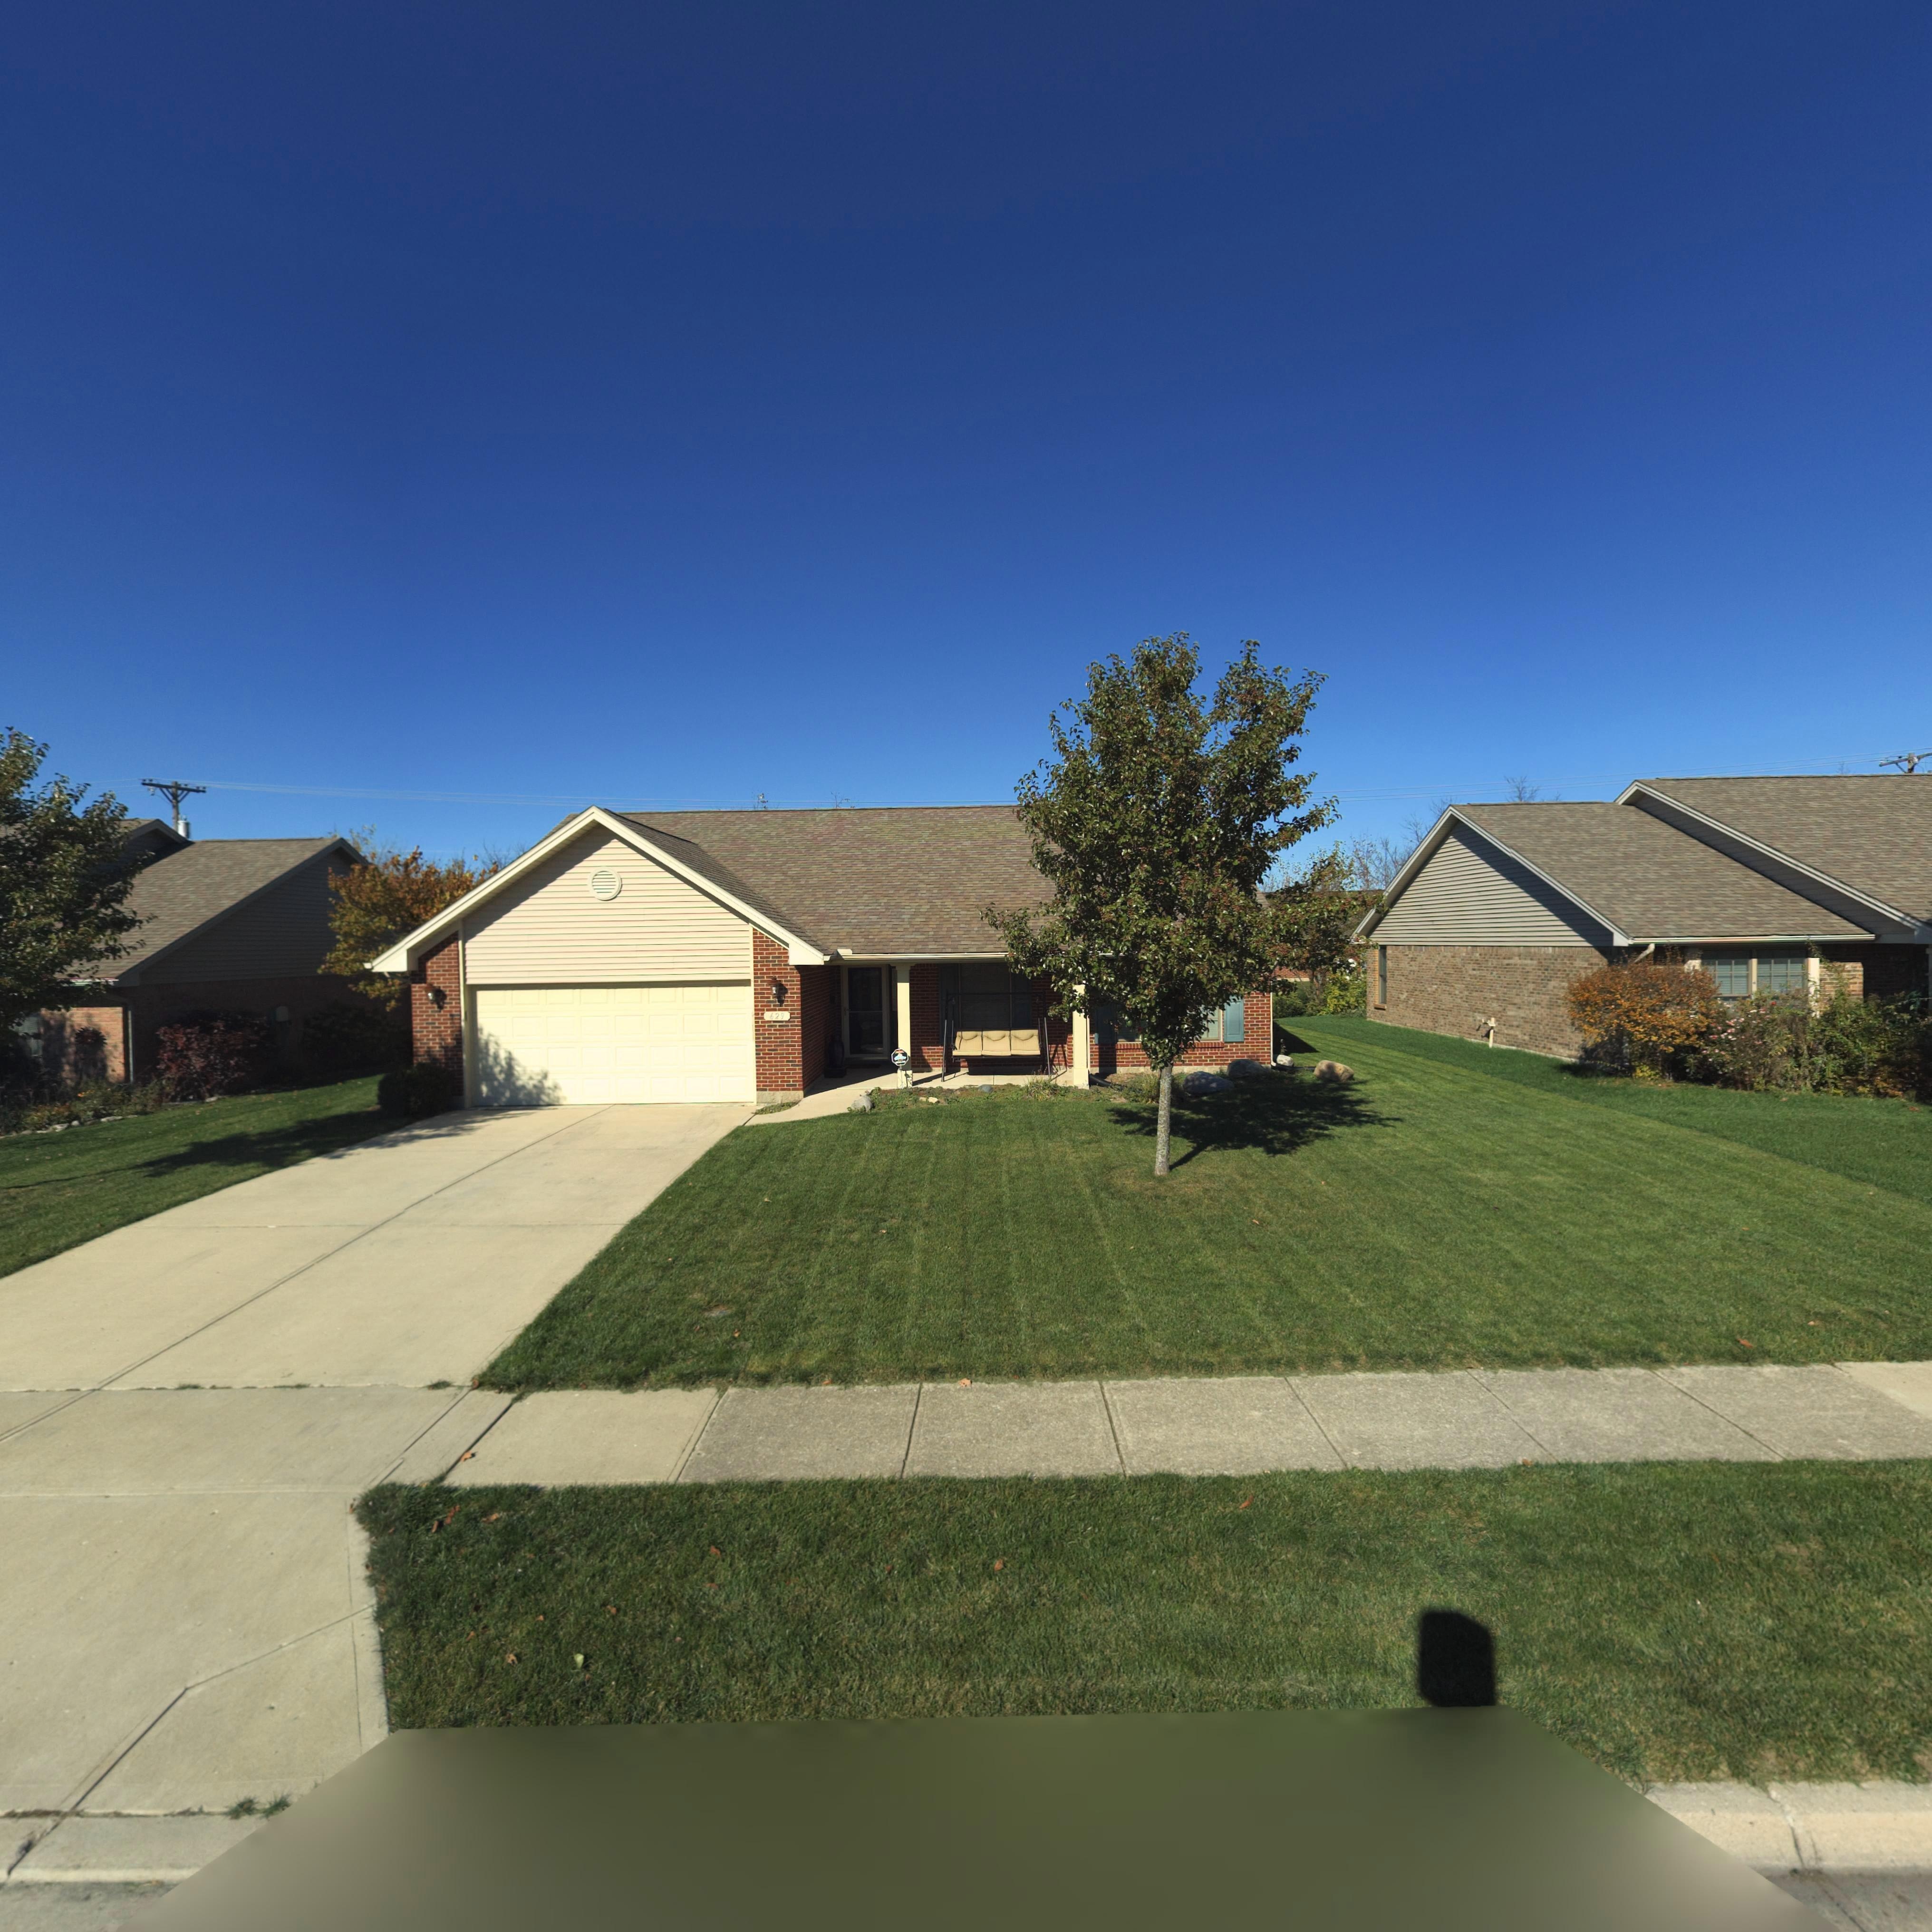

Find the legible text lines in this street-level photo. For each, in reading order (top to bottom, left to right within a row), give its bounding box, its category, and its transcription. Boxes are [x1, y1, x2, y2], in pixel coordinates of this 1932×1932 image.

[768, 1011, 785, 1021] StreetNumber: 629